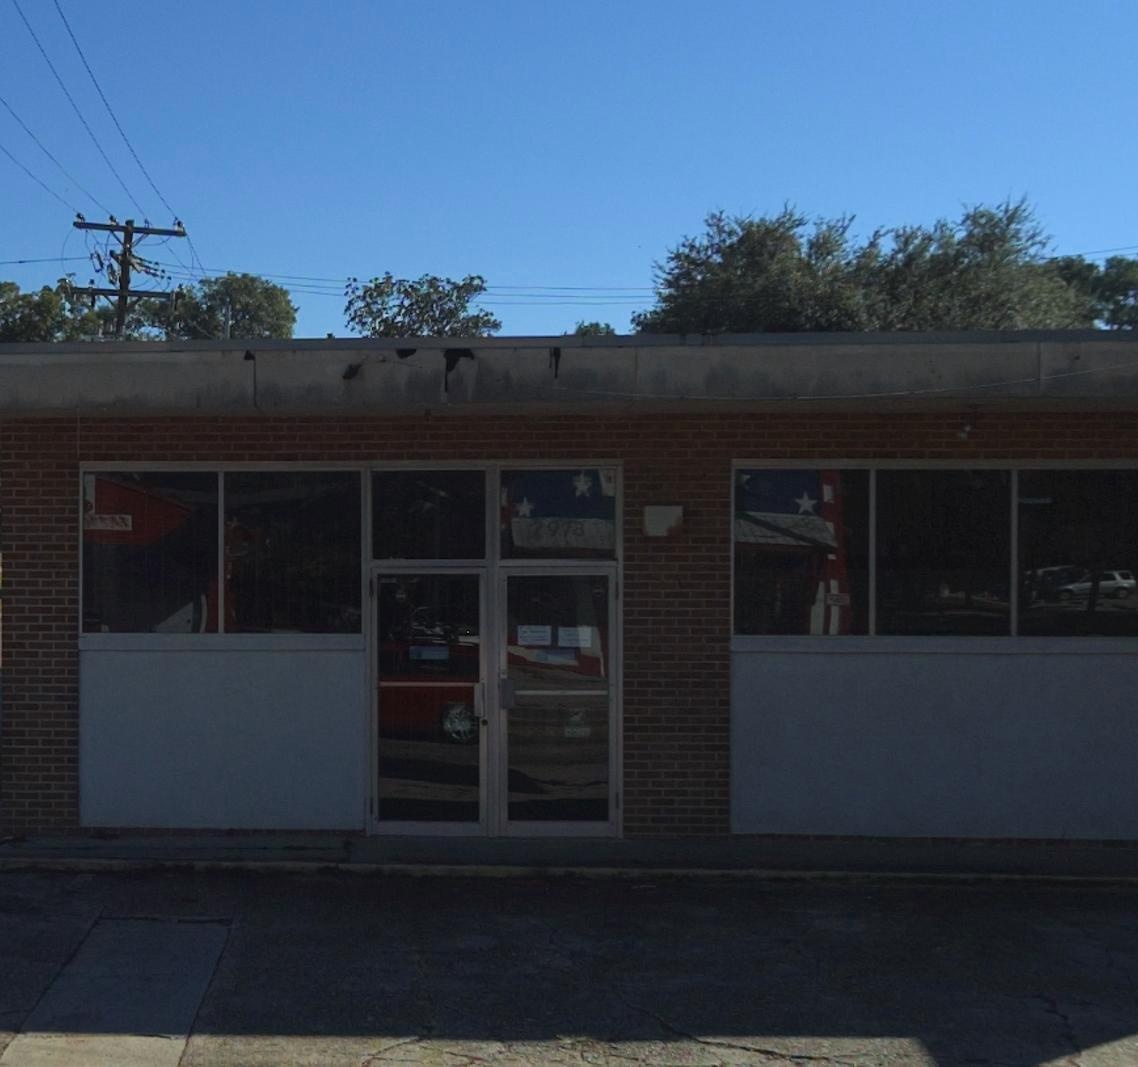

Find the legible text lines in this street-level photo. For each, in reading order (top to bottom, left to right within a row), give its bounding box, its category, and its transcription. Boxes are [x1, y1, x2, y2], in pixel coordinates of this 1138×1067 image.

[530, 517, 586, 541] StreetNumber: 297*